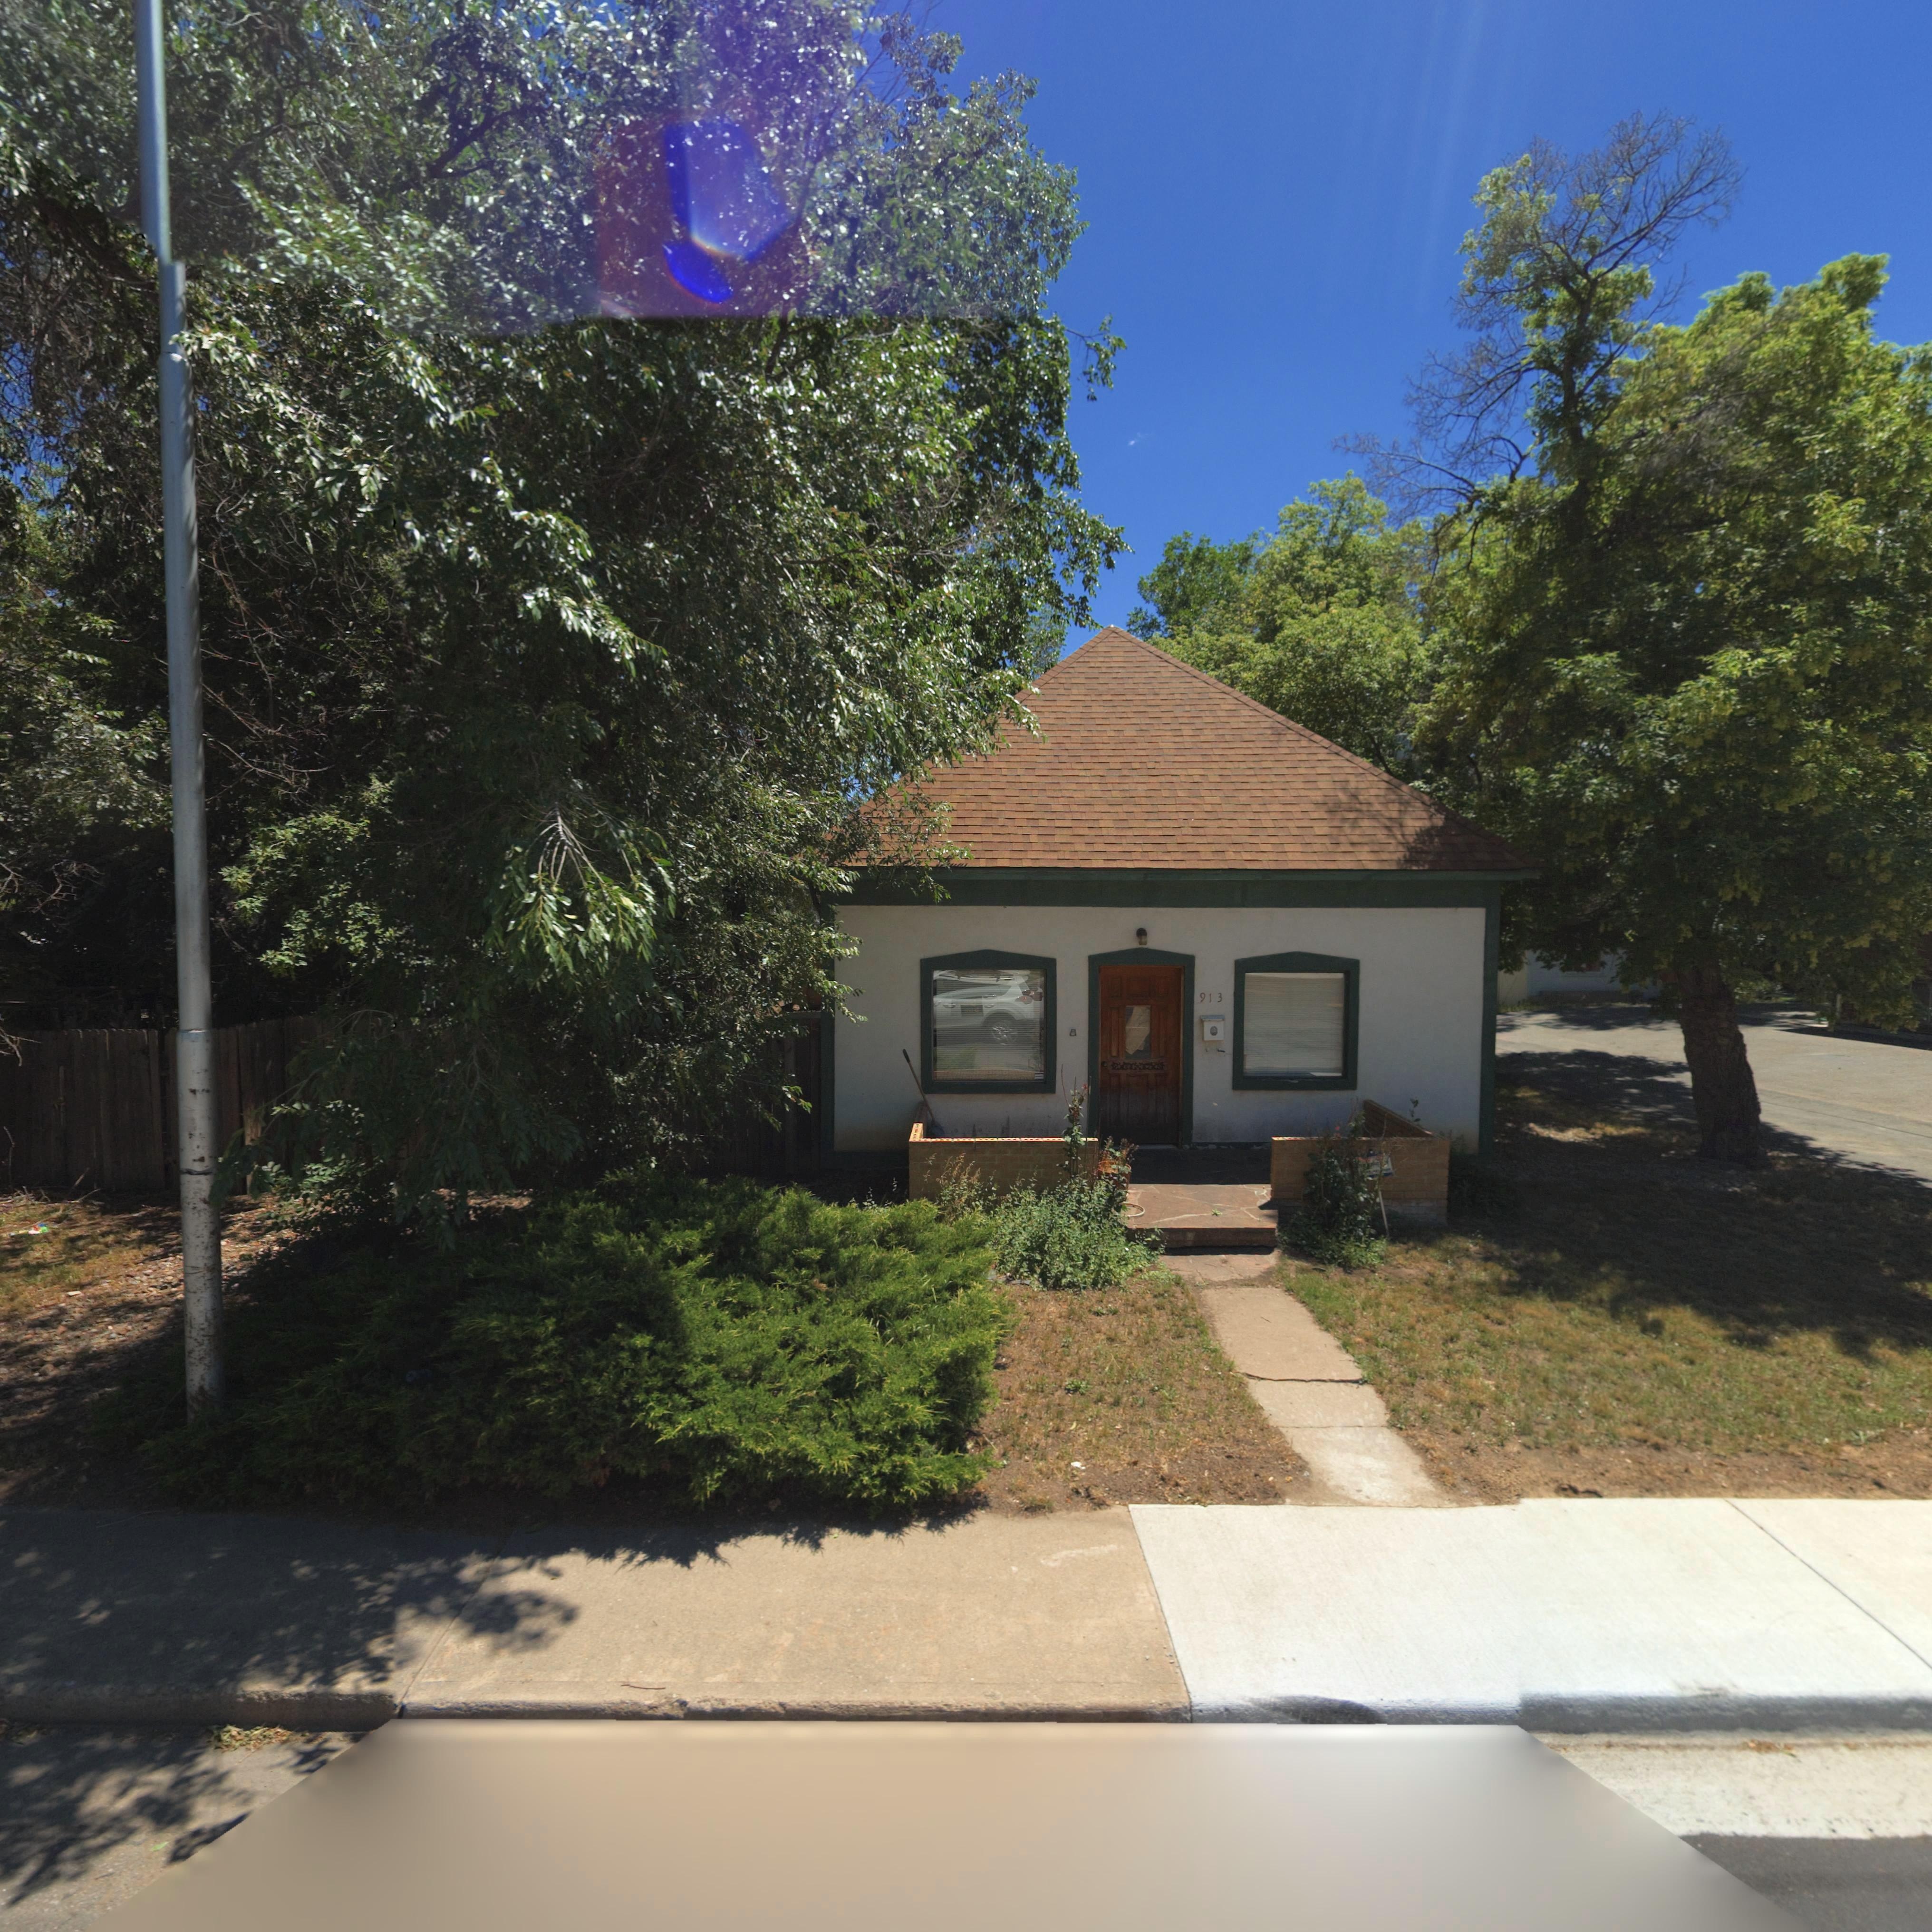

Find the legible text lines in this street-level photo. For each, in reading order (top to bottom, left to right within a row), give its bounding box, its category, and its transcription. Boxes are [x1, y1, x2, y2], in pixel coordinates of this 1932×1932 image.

[1199, 991, 1223, 1003] StreetNumber: 913